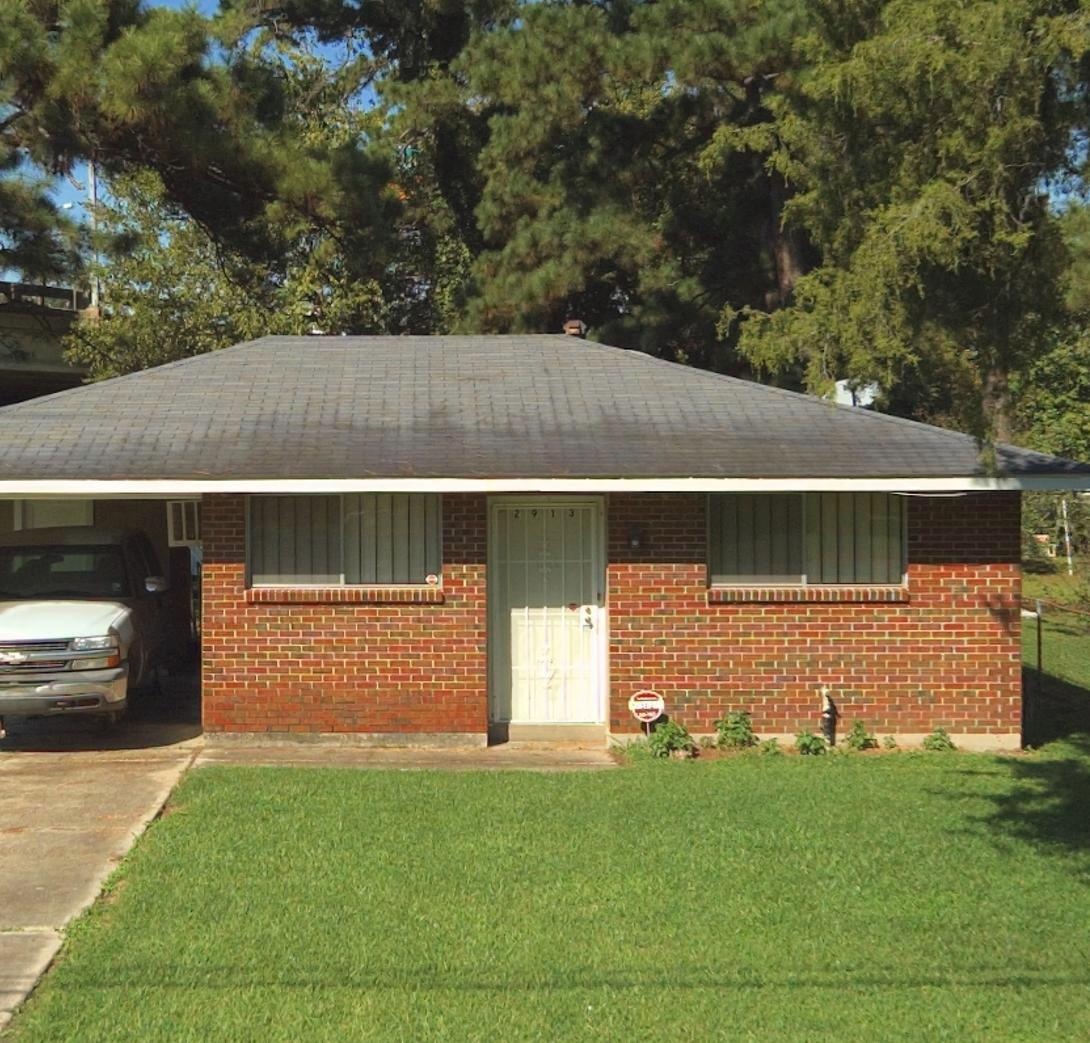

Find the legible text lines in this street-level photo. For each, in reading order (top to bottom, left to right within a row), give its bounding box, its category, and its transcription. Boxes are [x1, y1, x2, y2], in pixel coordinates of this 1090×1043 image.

[513, 507, 576, 519] StreetNumber: 2913